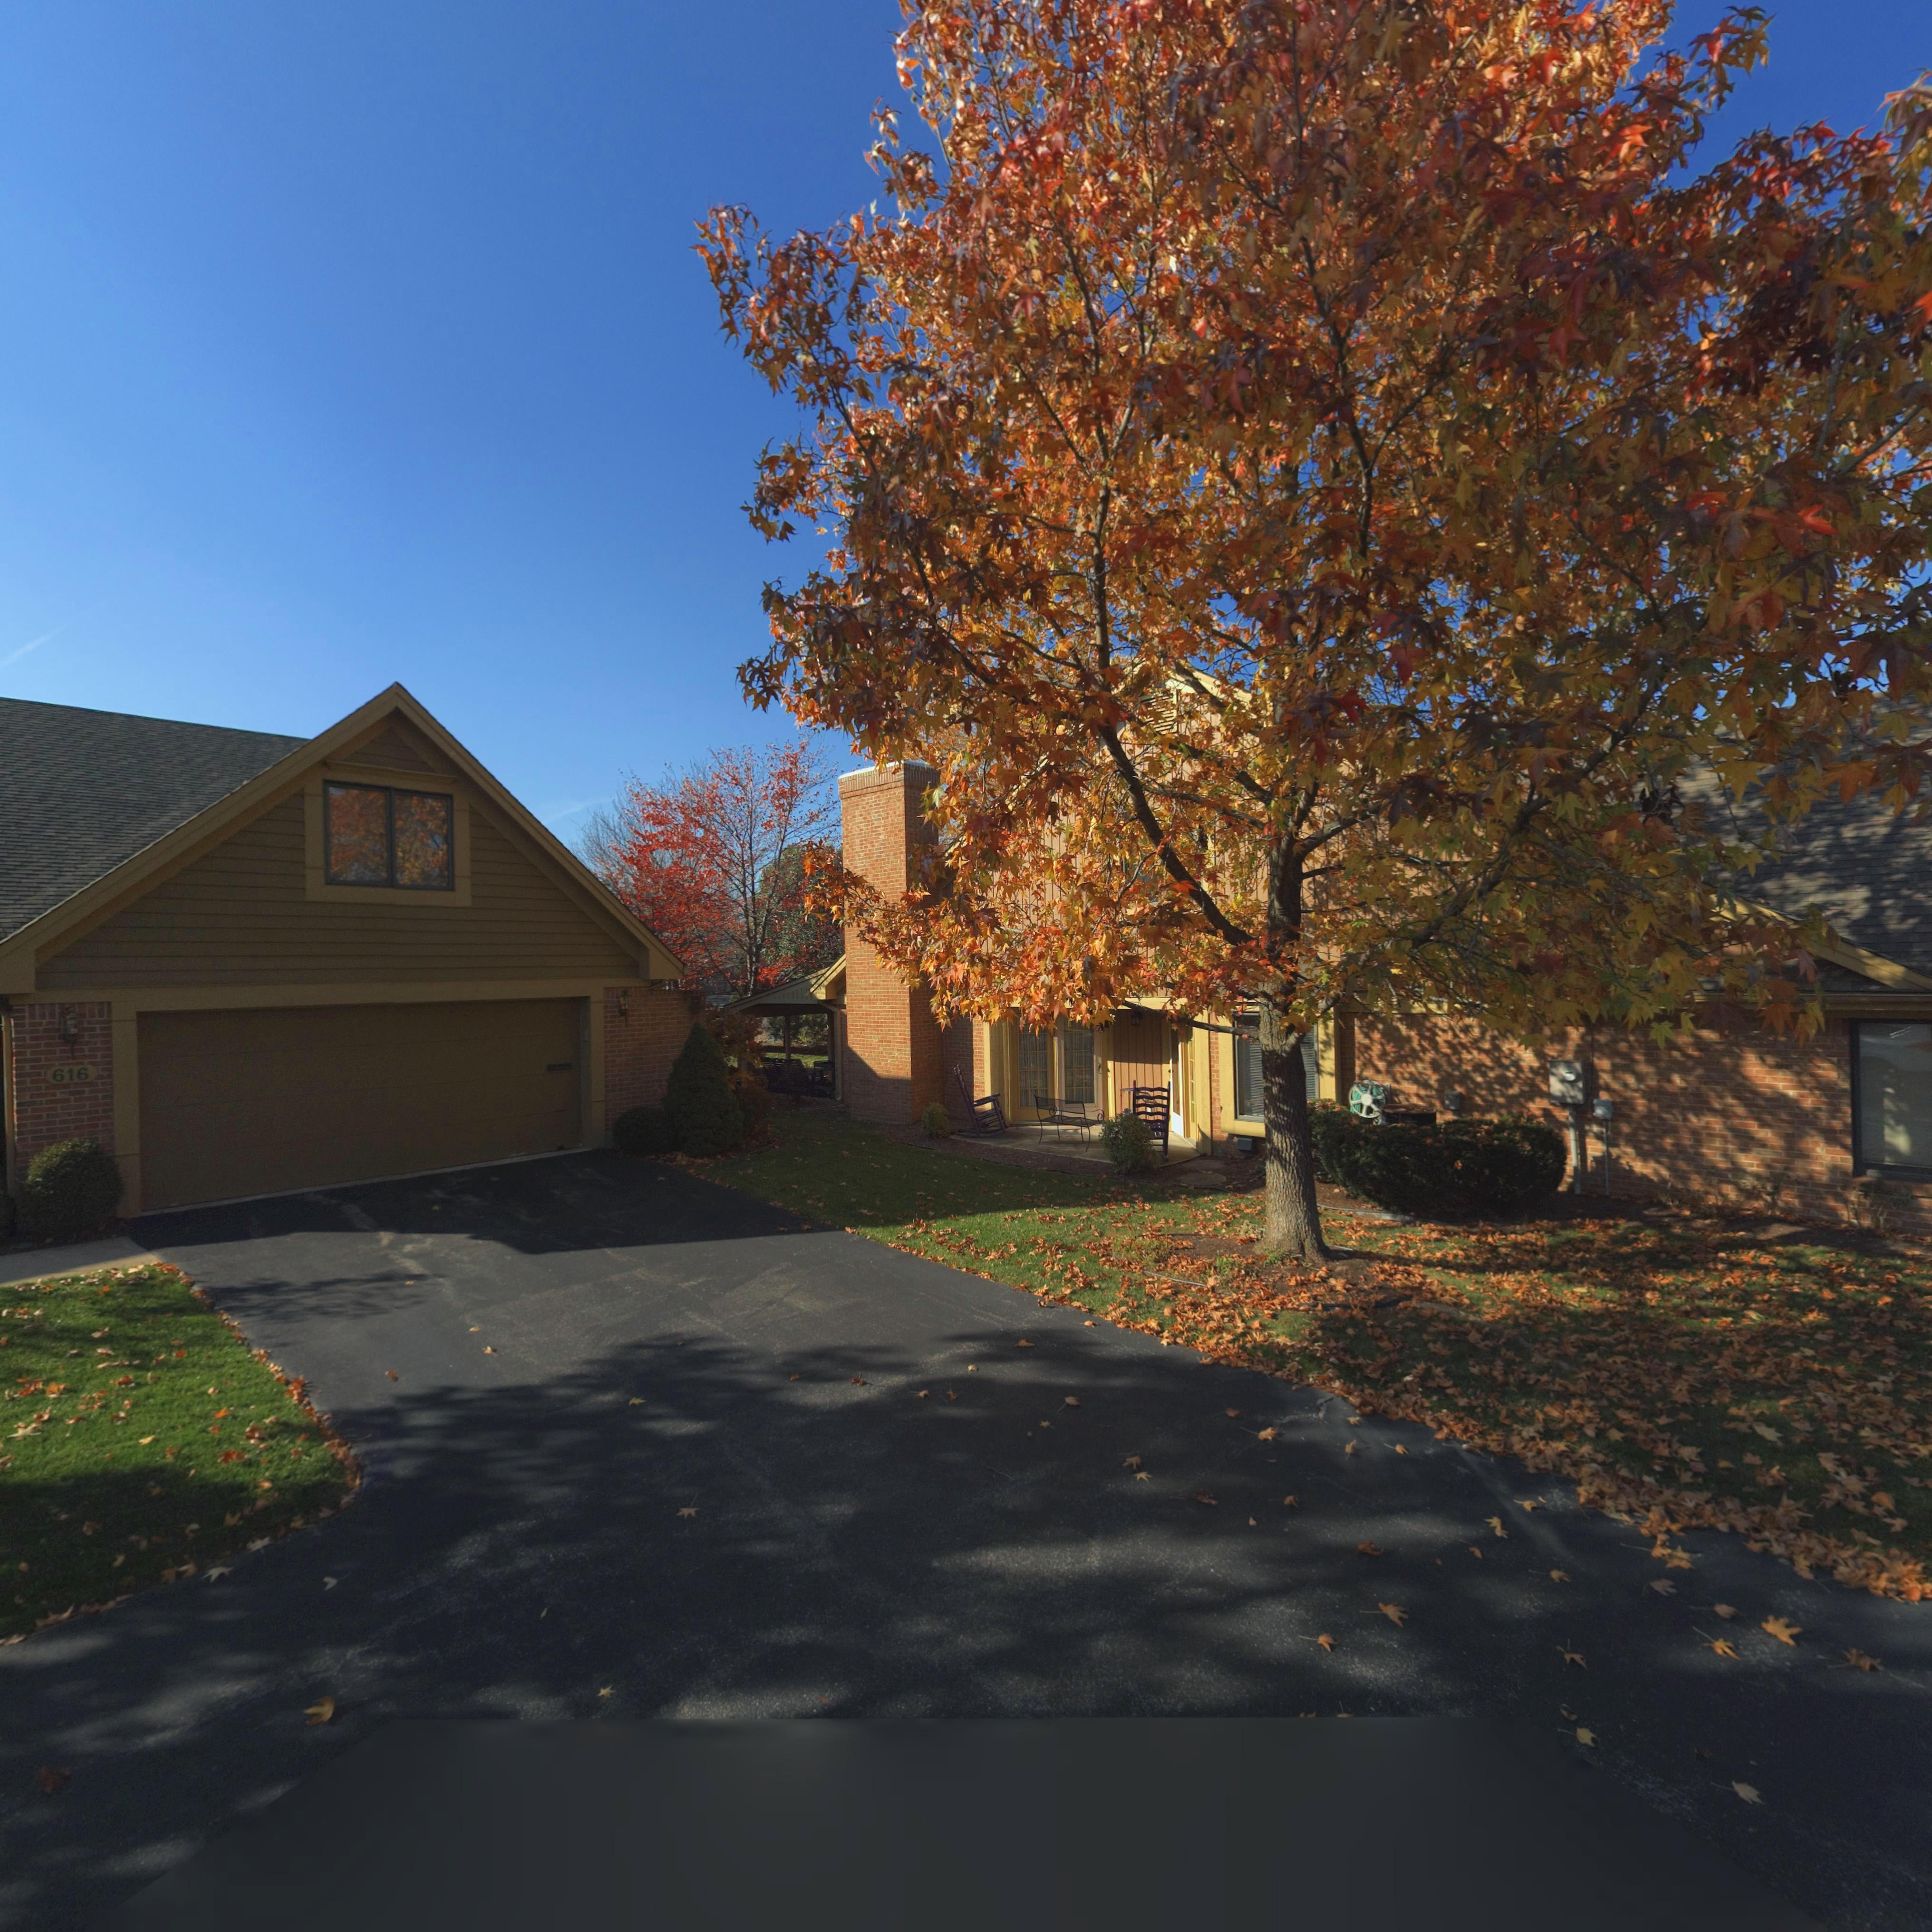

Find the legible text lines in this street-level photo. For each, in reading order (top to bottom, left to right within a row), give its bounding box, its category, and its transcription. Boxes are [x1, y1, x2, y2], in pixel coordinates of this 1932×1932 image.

[50, 1066, 90, 1084] StreetNumber: 616